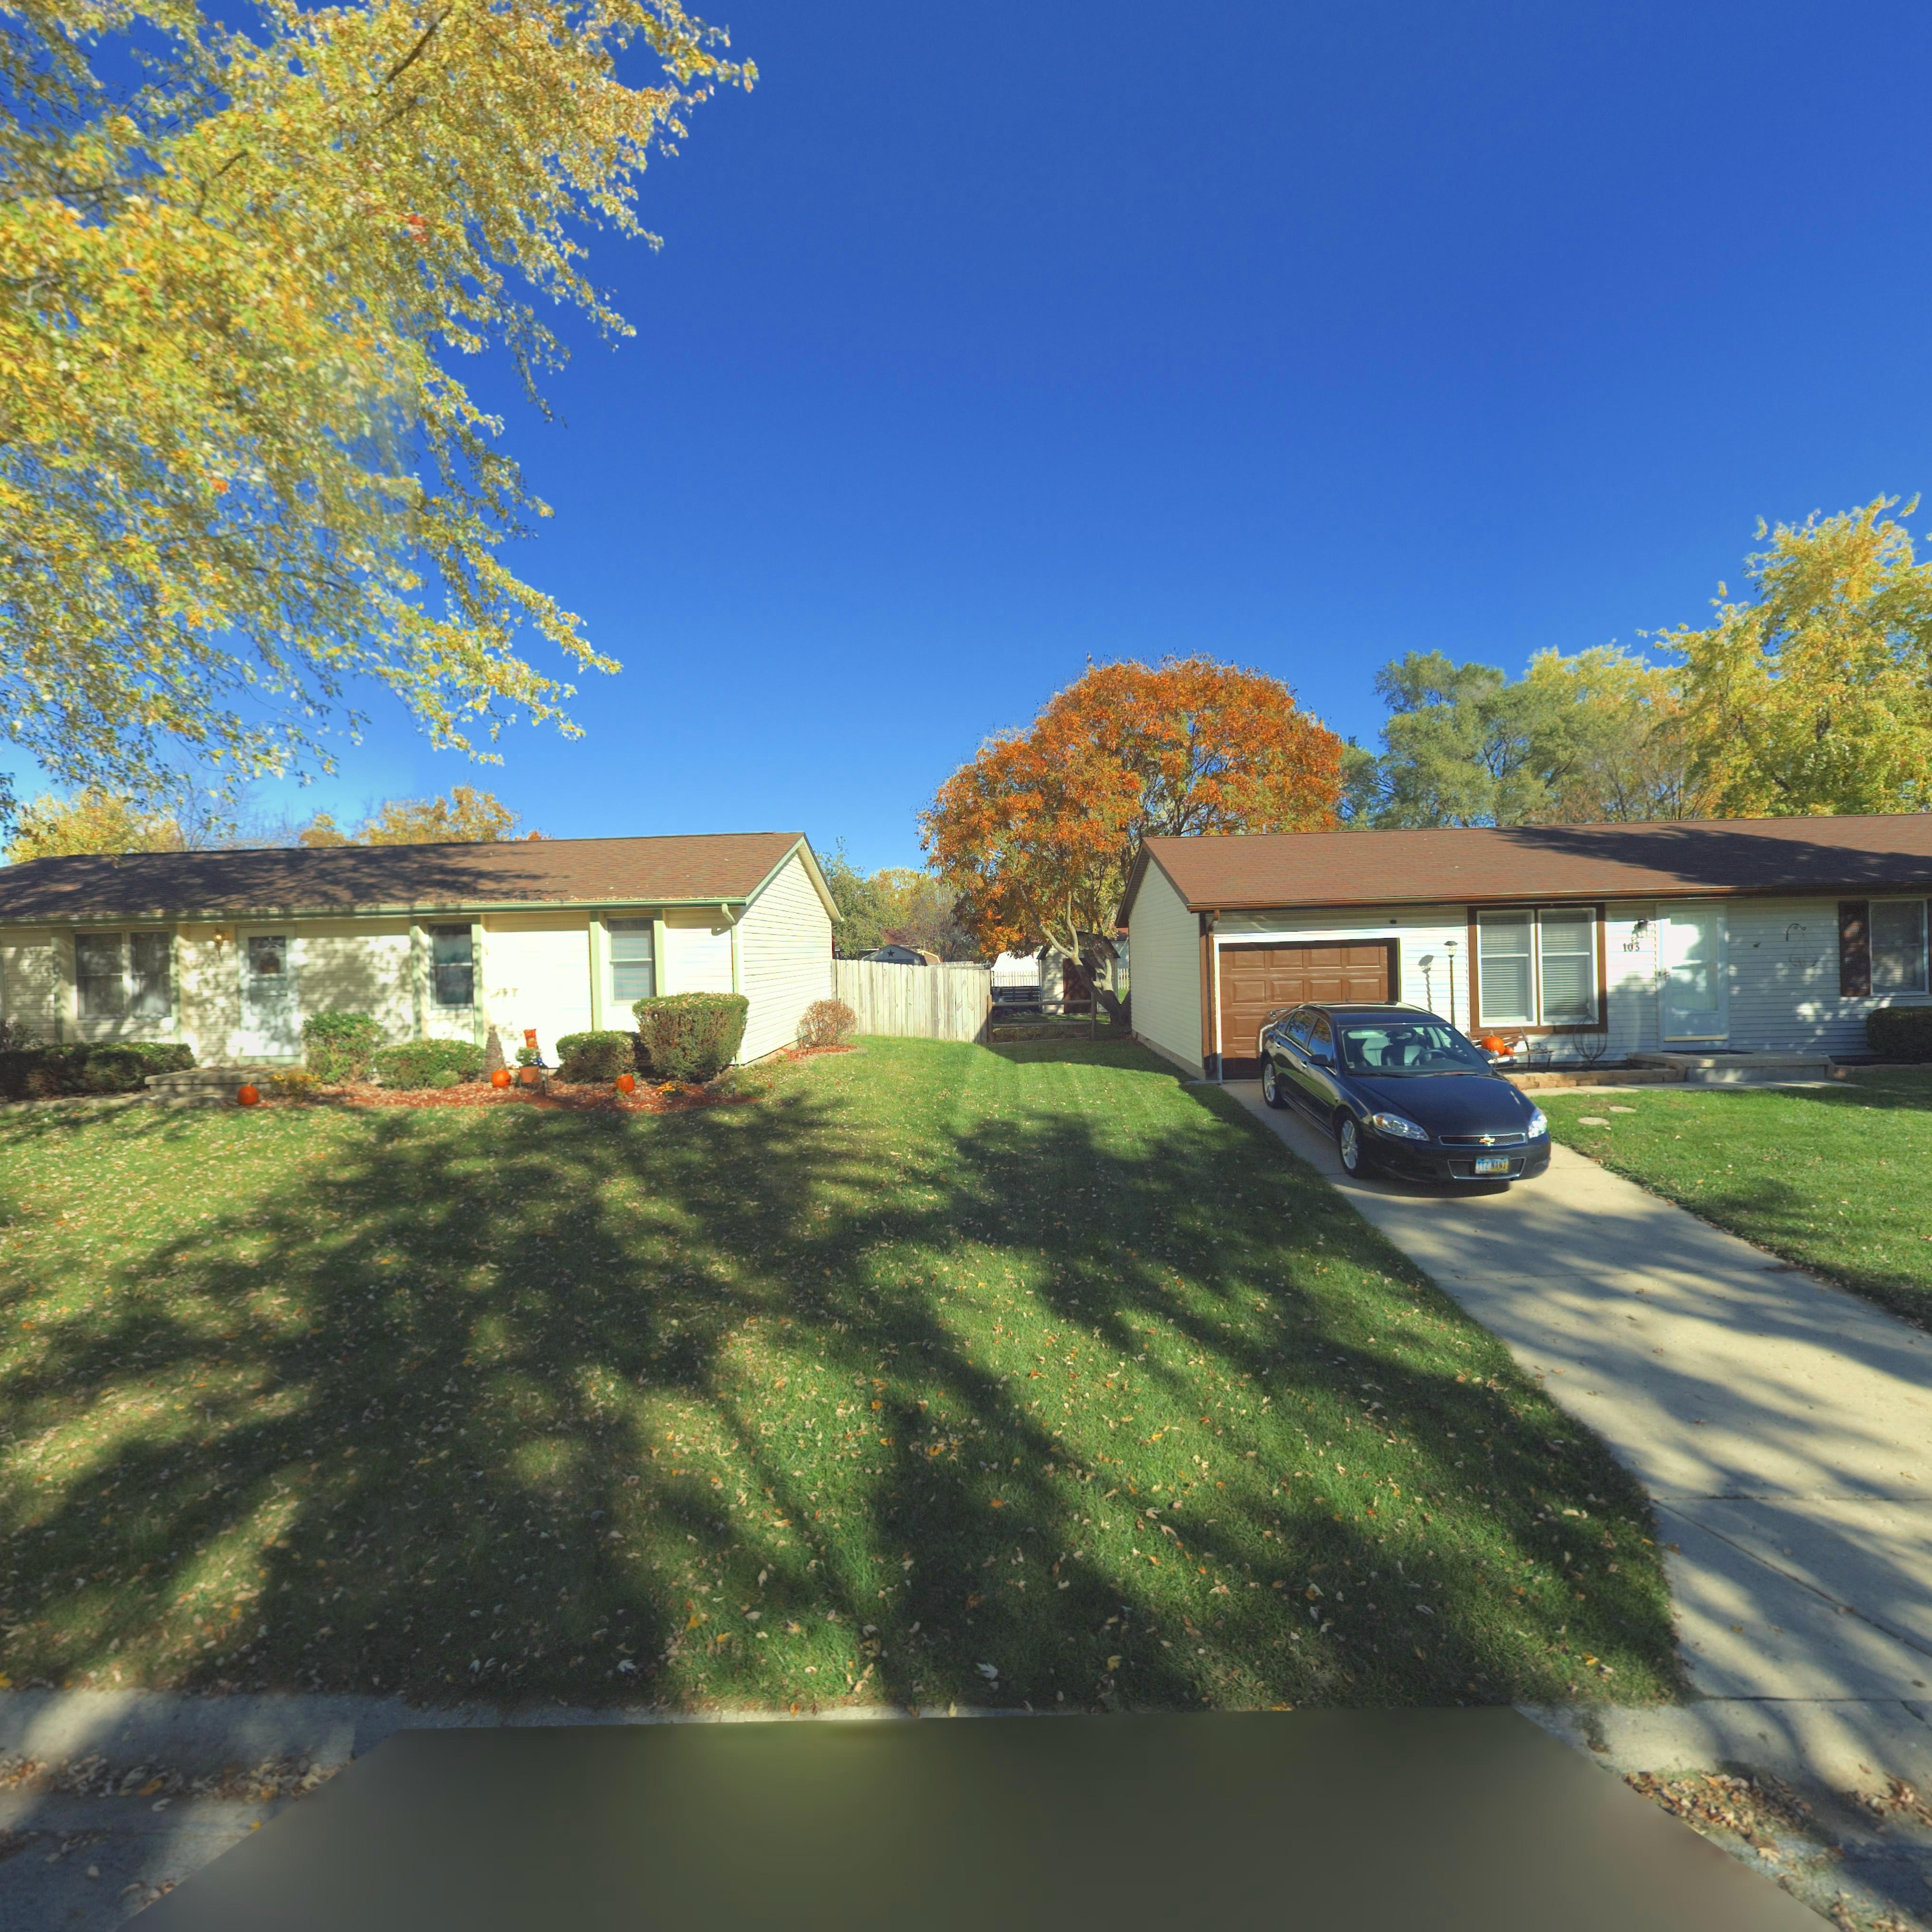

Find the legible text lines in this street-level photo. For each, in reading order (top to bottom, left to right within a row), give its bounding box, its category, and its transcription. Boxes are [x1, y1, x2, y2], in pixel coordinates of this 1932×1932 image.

[1622, 941, 1641, 953] StreetNumber: 103